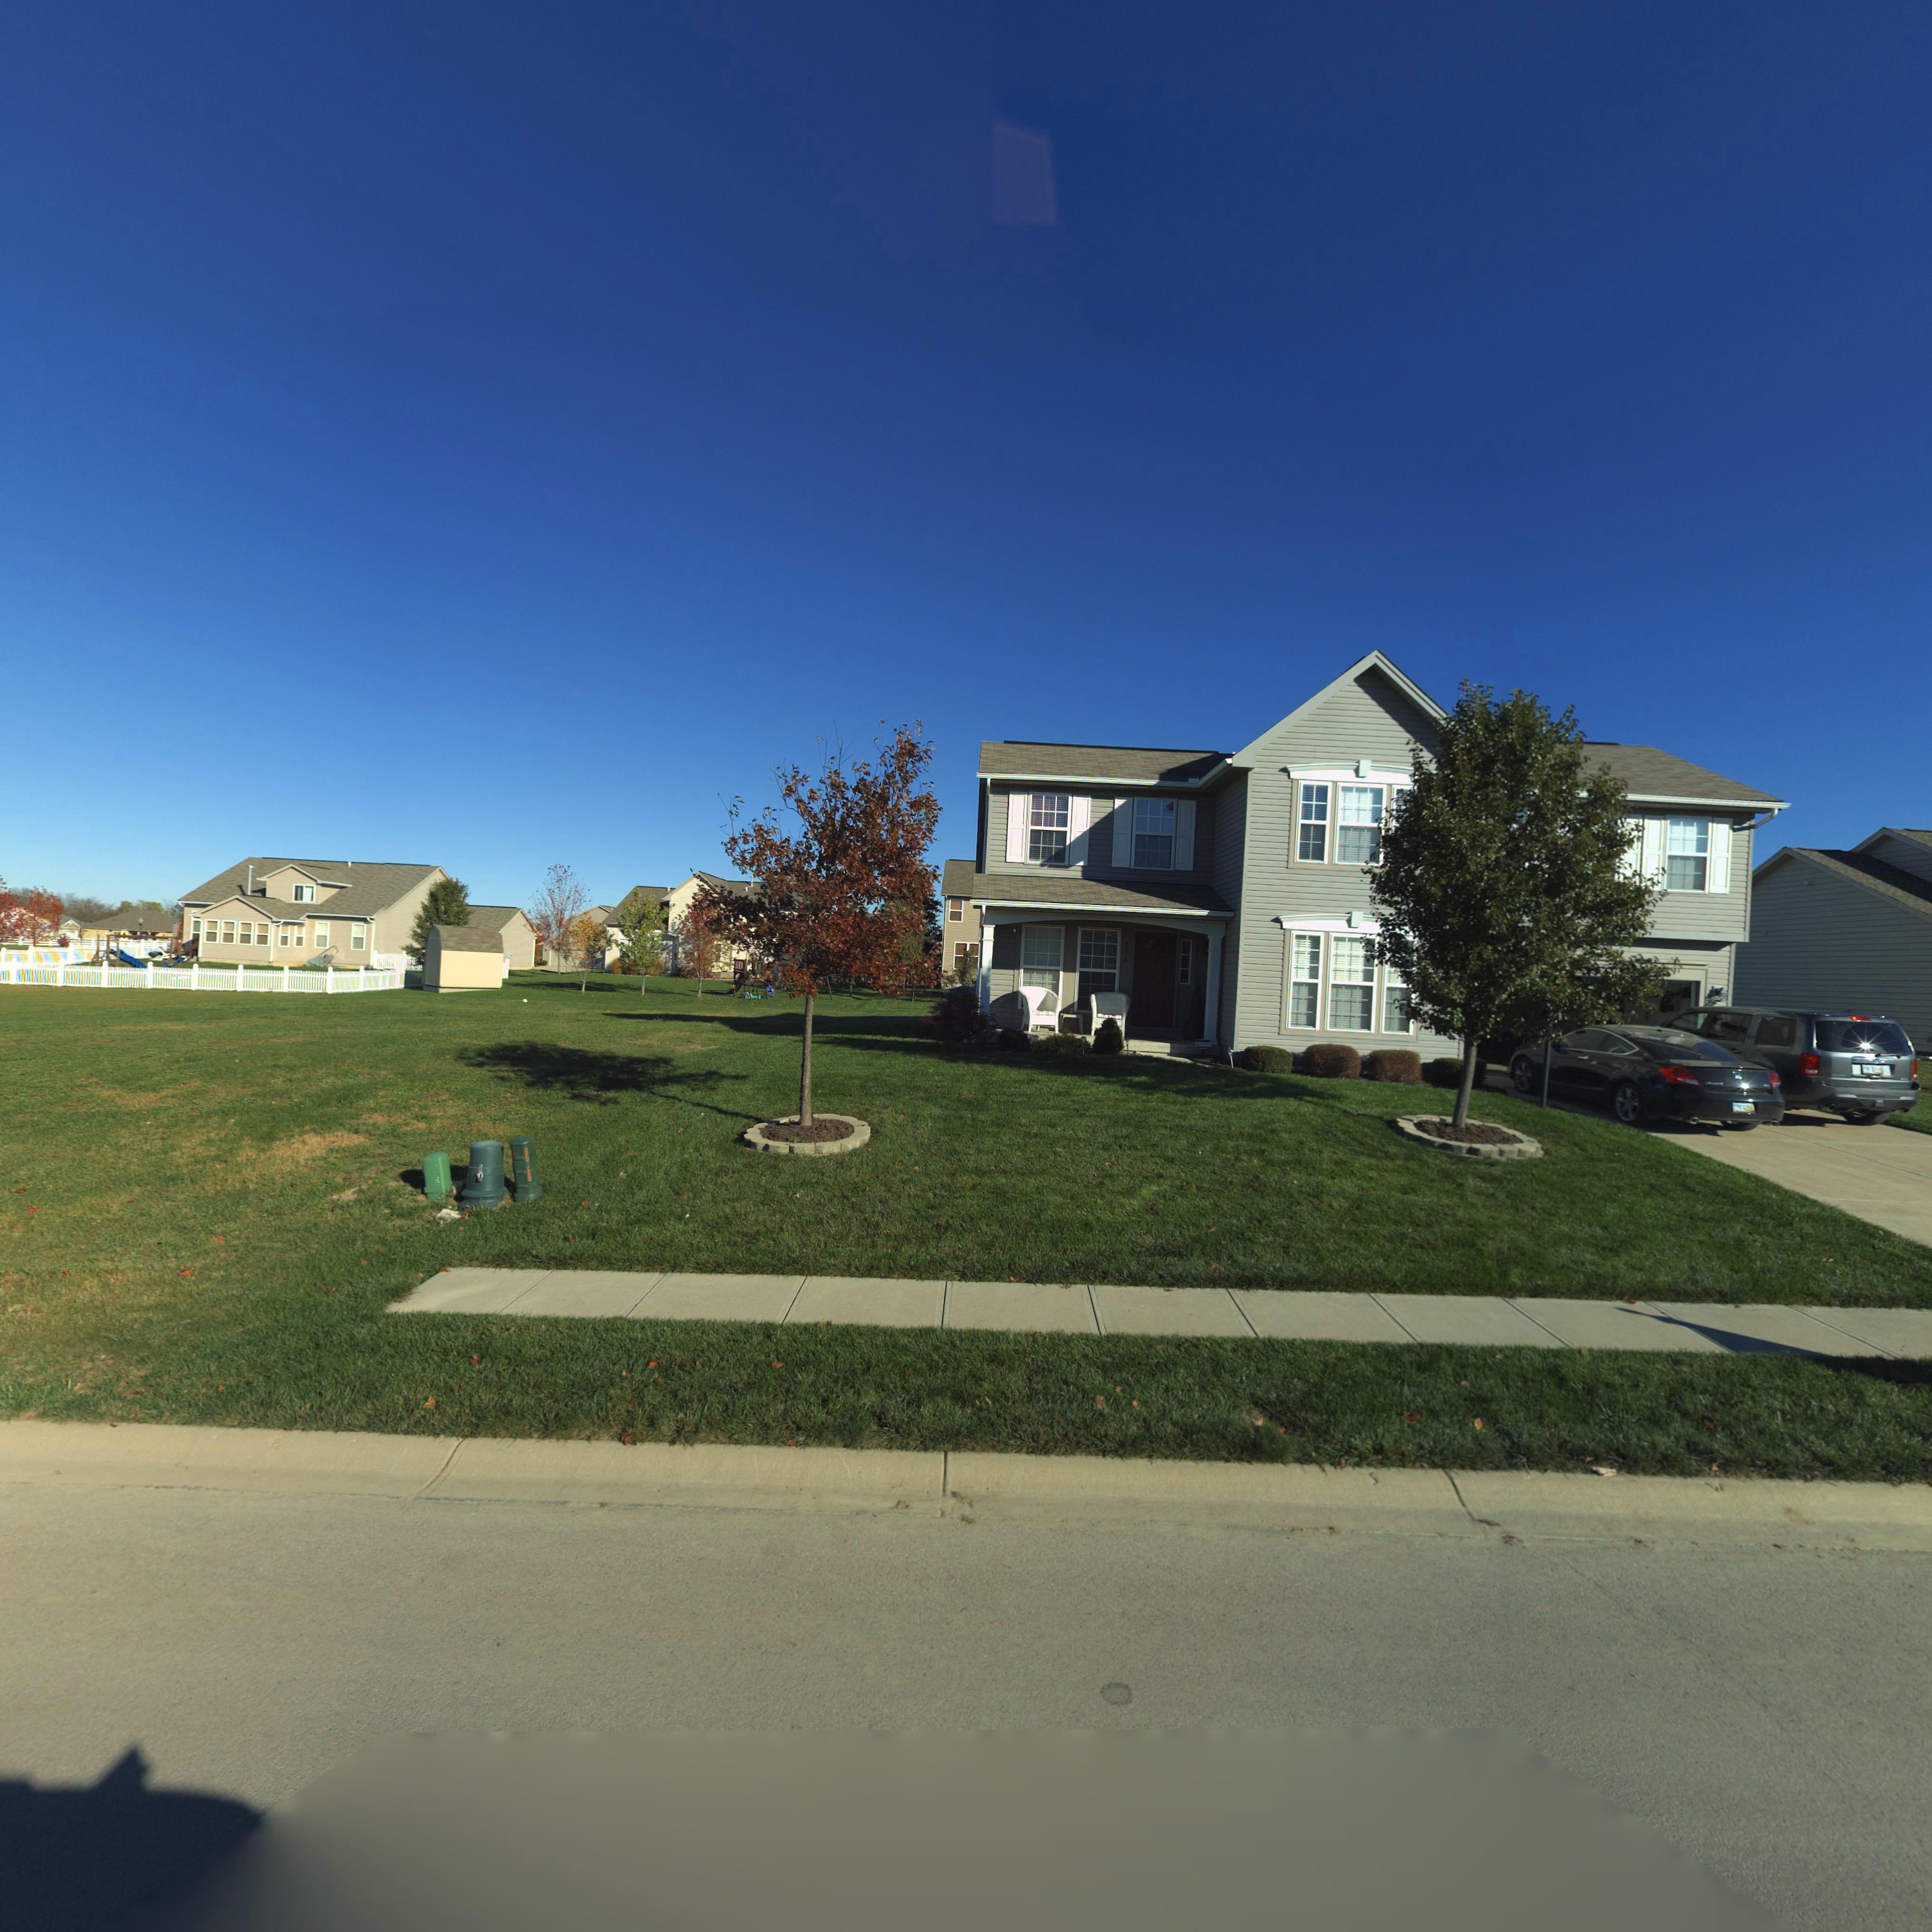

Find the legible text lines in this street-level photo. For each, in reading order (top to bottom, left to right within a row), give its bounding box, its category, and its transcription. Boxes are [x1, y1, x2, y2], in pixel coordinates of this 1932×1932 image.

[1122, 941, 1129, 963] StreetNumber: 104